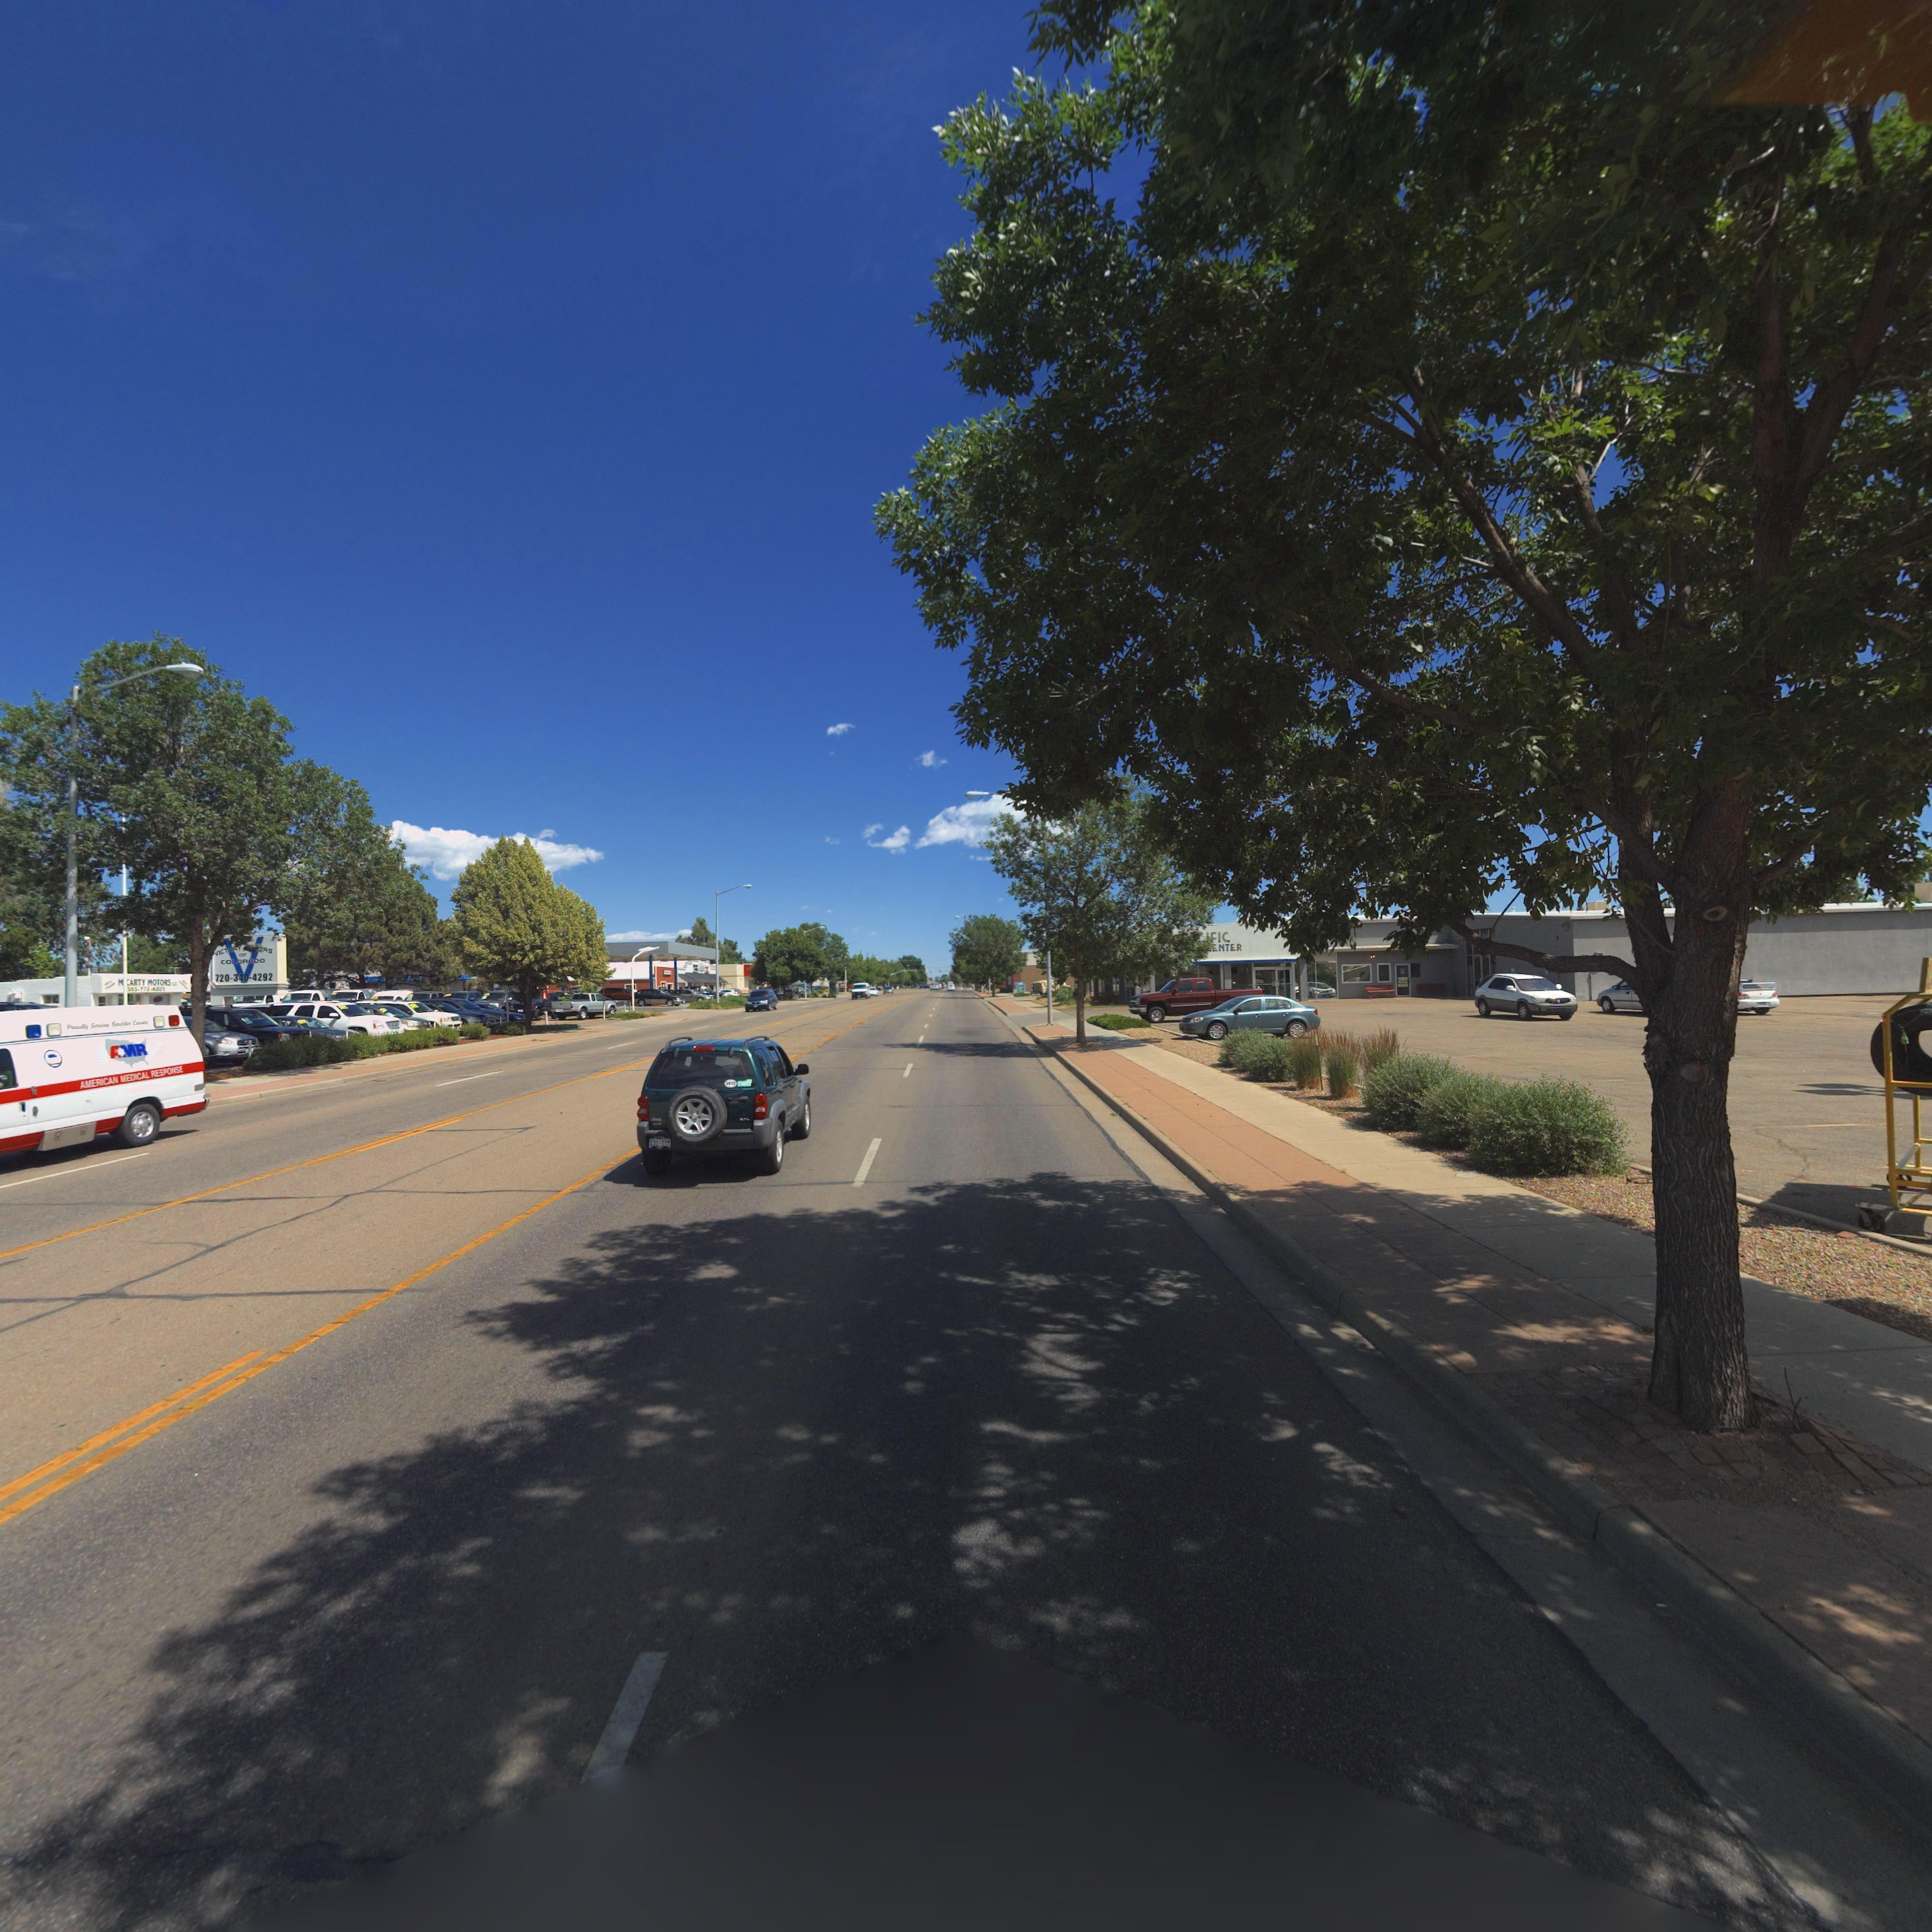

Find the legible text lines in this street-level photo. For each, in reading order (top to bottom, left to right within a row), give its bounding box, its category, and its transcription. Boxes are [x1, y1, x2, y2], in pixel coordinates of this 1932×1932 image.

[1206, 931, 1231, 944] BusinessName: **IC
[212, 945, 273, 956] BusinessName: VICTORY ****RS
[238, 952, 247, 957] BusinessName: OF
[1212, 943, 1242, 952] BusinessName: *NTER
[220, 957, 265, 965] BusinessName: COLORADO
[117, 978, 171, 986] BusinessName: M**ARTY MOTORS